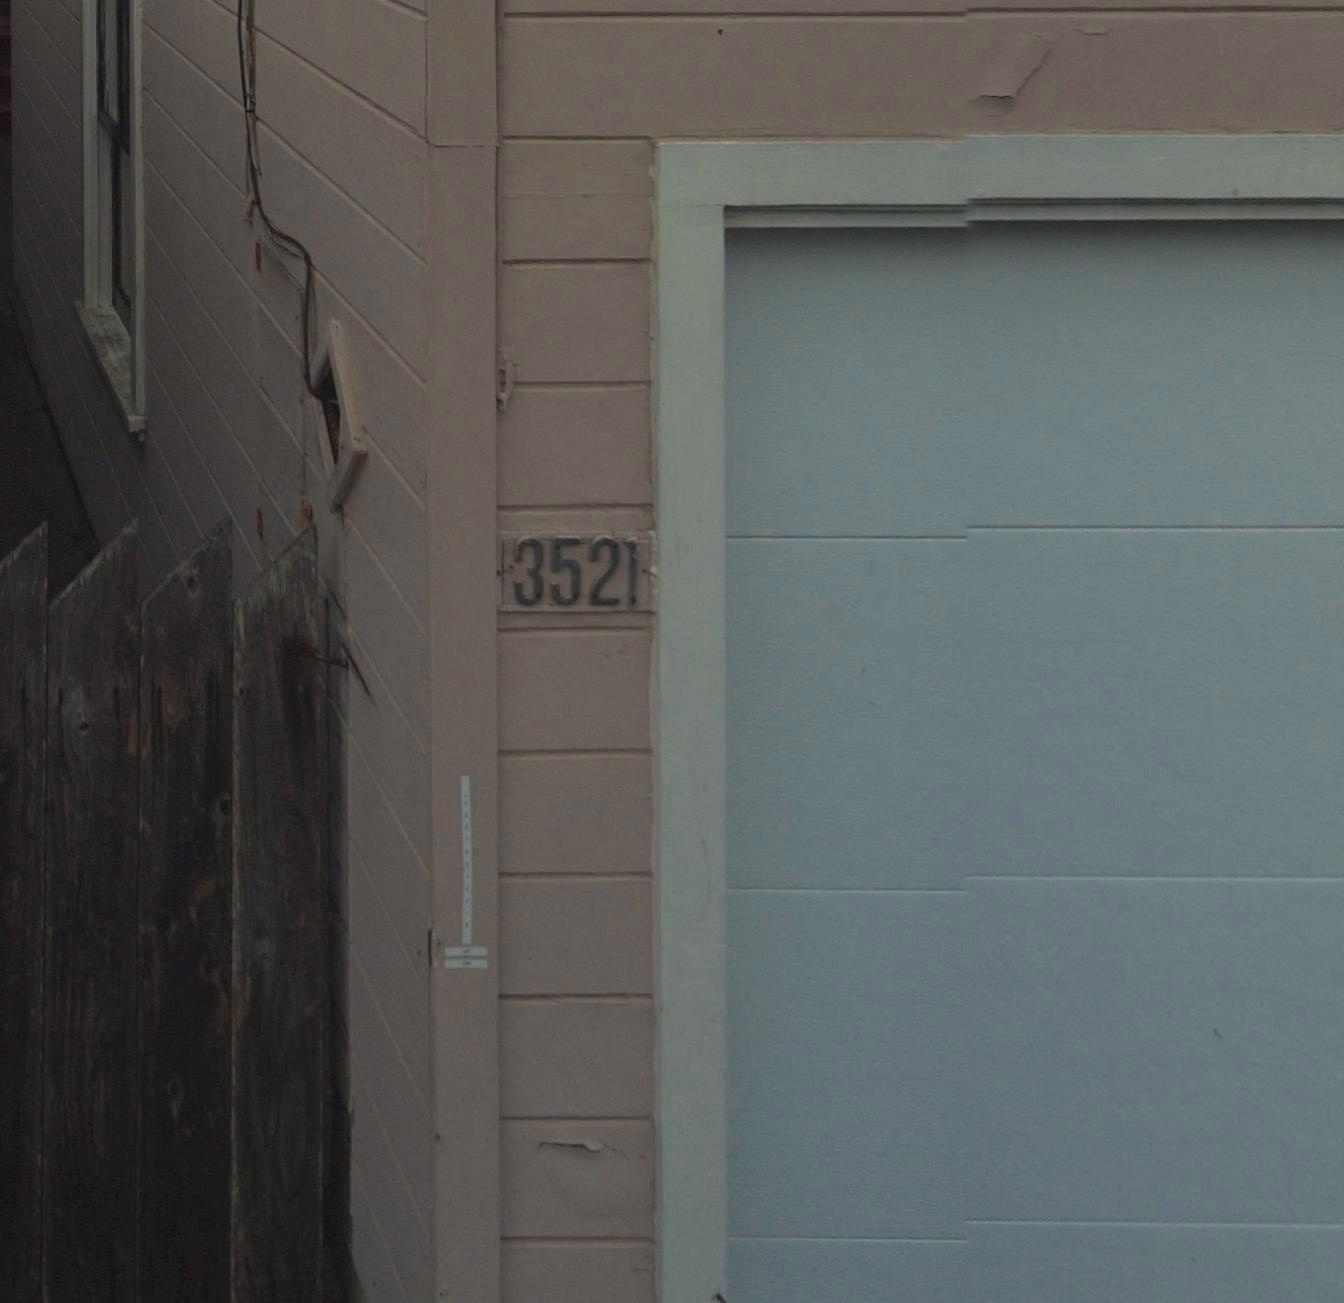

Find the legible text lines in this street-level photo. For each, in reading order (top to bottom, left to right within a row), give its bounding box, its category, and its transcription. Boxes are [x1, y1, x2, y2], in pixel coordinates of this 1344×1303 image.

[513, 534, 641, 613] StreetNumber: 3521